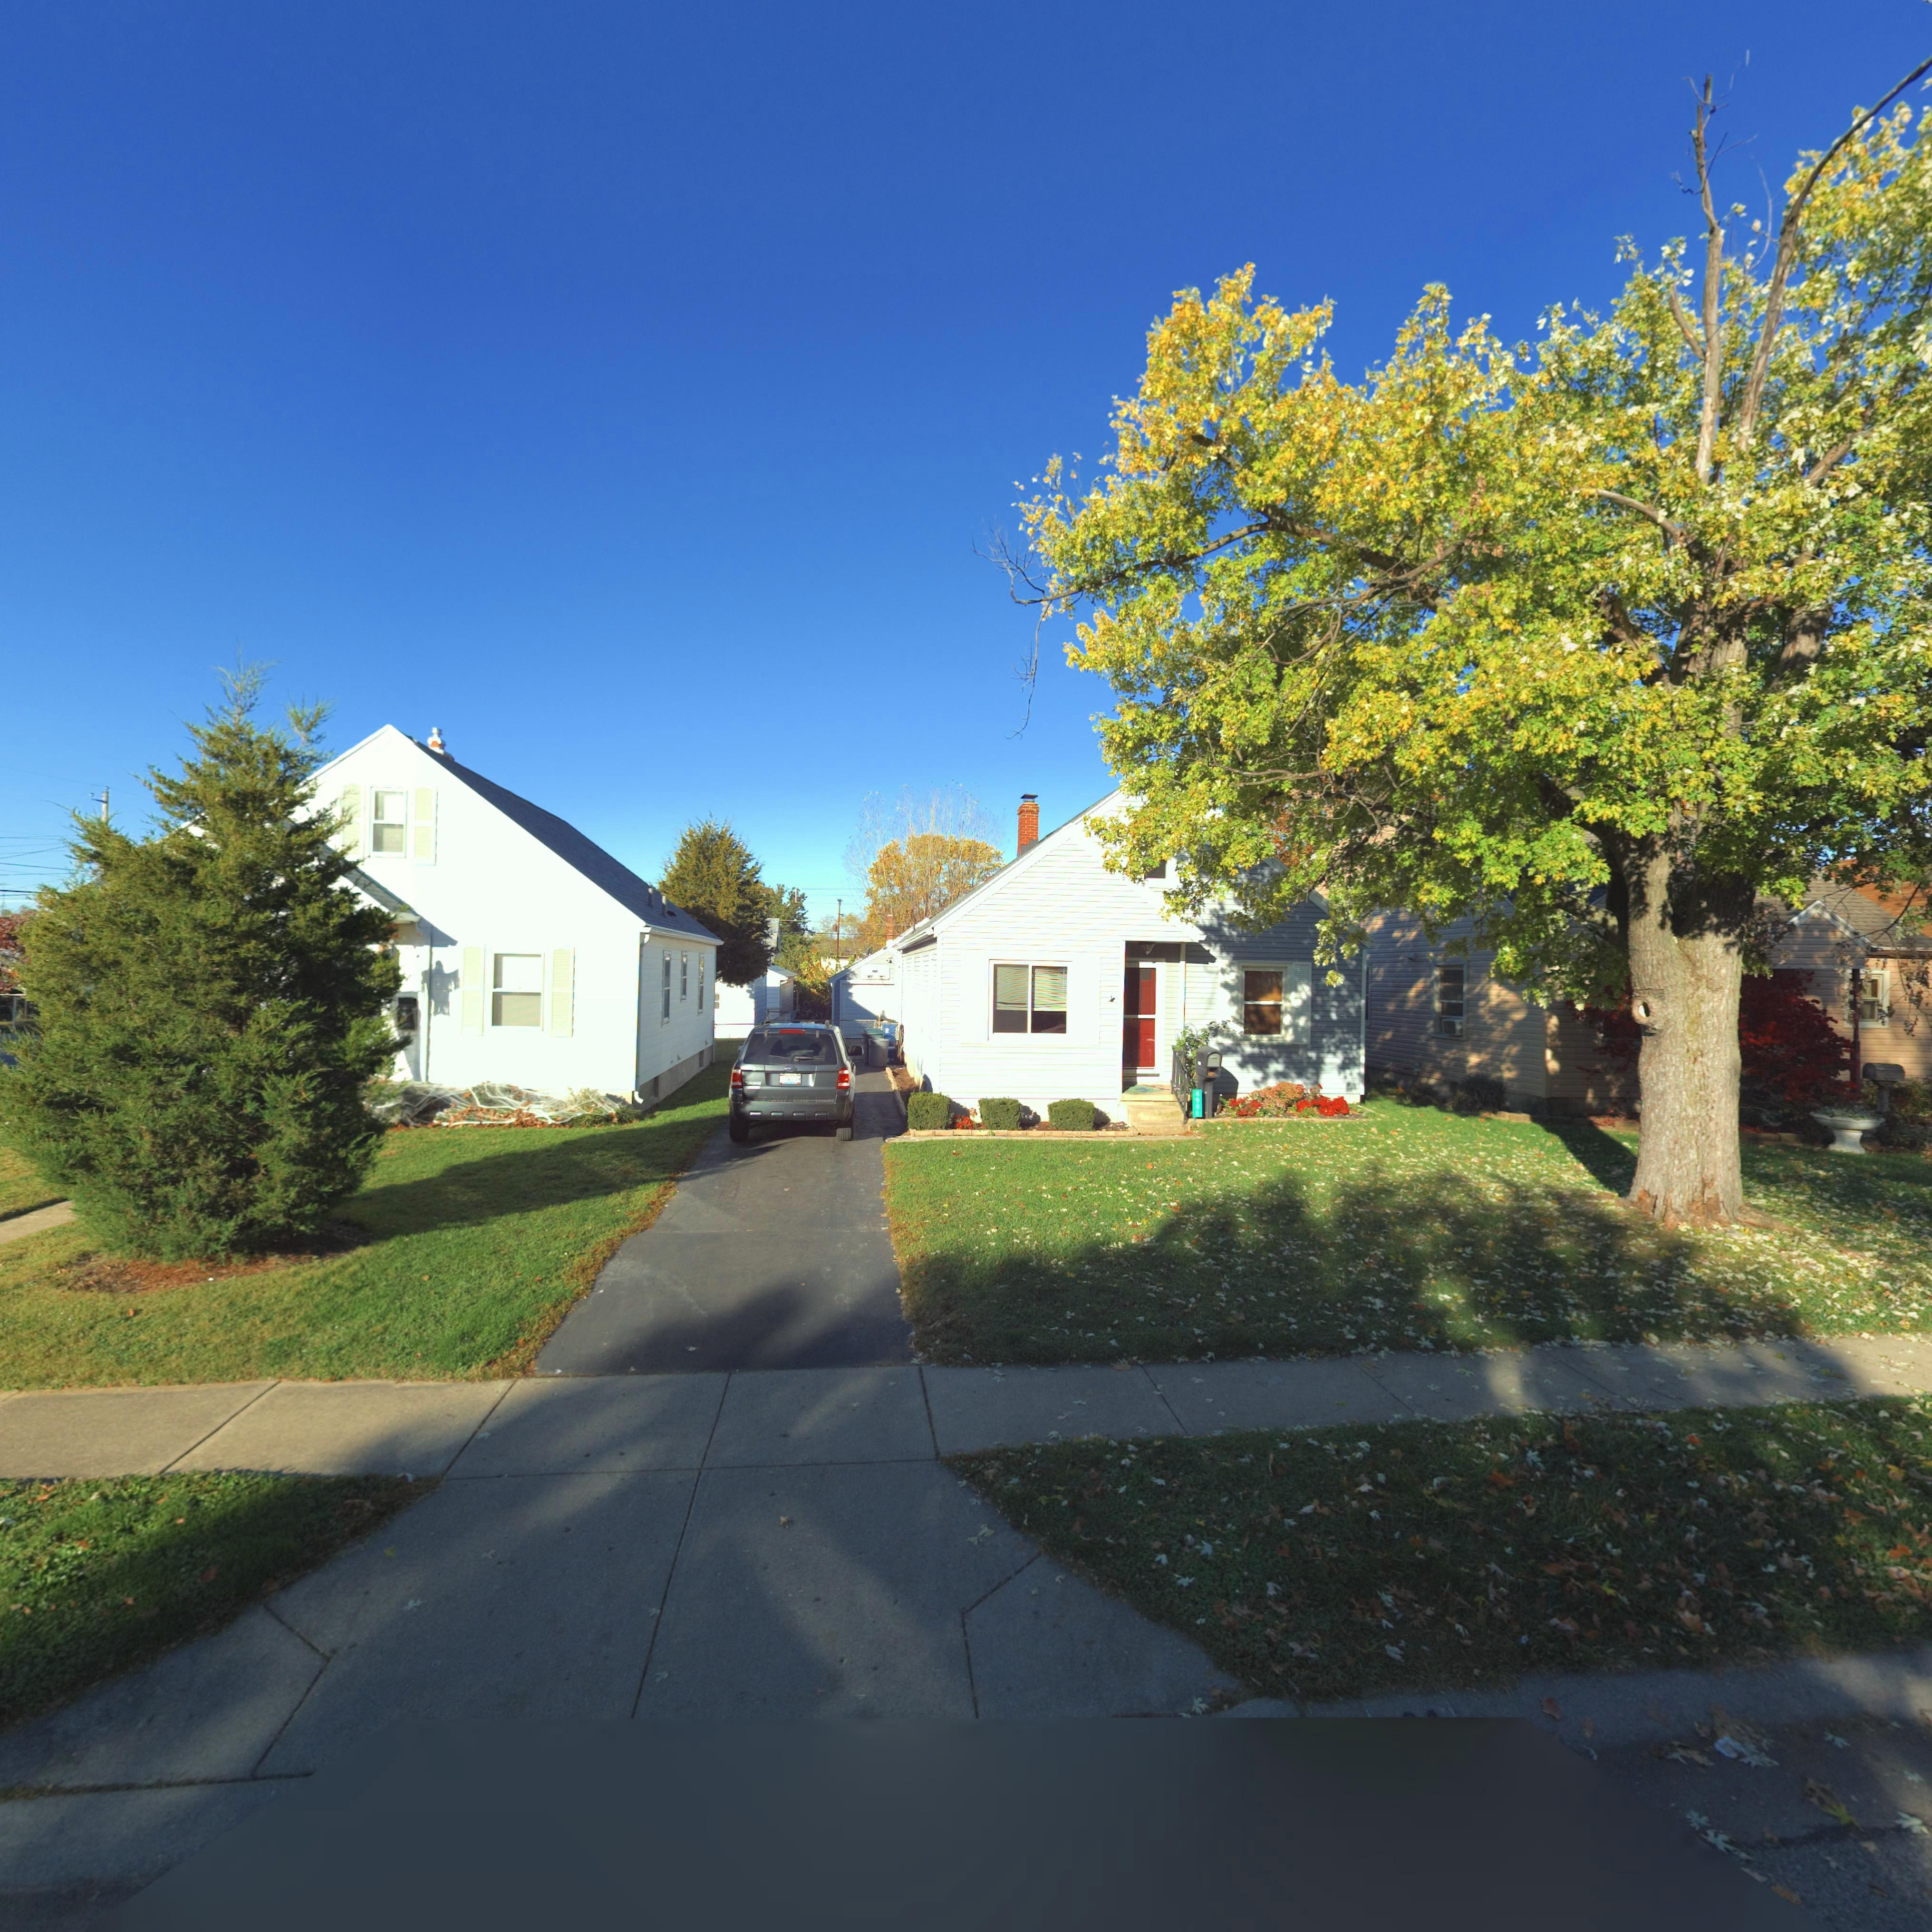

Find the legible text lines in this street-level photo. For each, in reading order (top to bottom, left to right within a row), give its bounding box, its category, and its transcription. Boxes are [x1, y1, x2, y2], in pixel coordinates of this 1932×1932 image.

[1194, 1090, 1200, 1116] StreetNumber: 4931